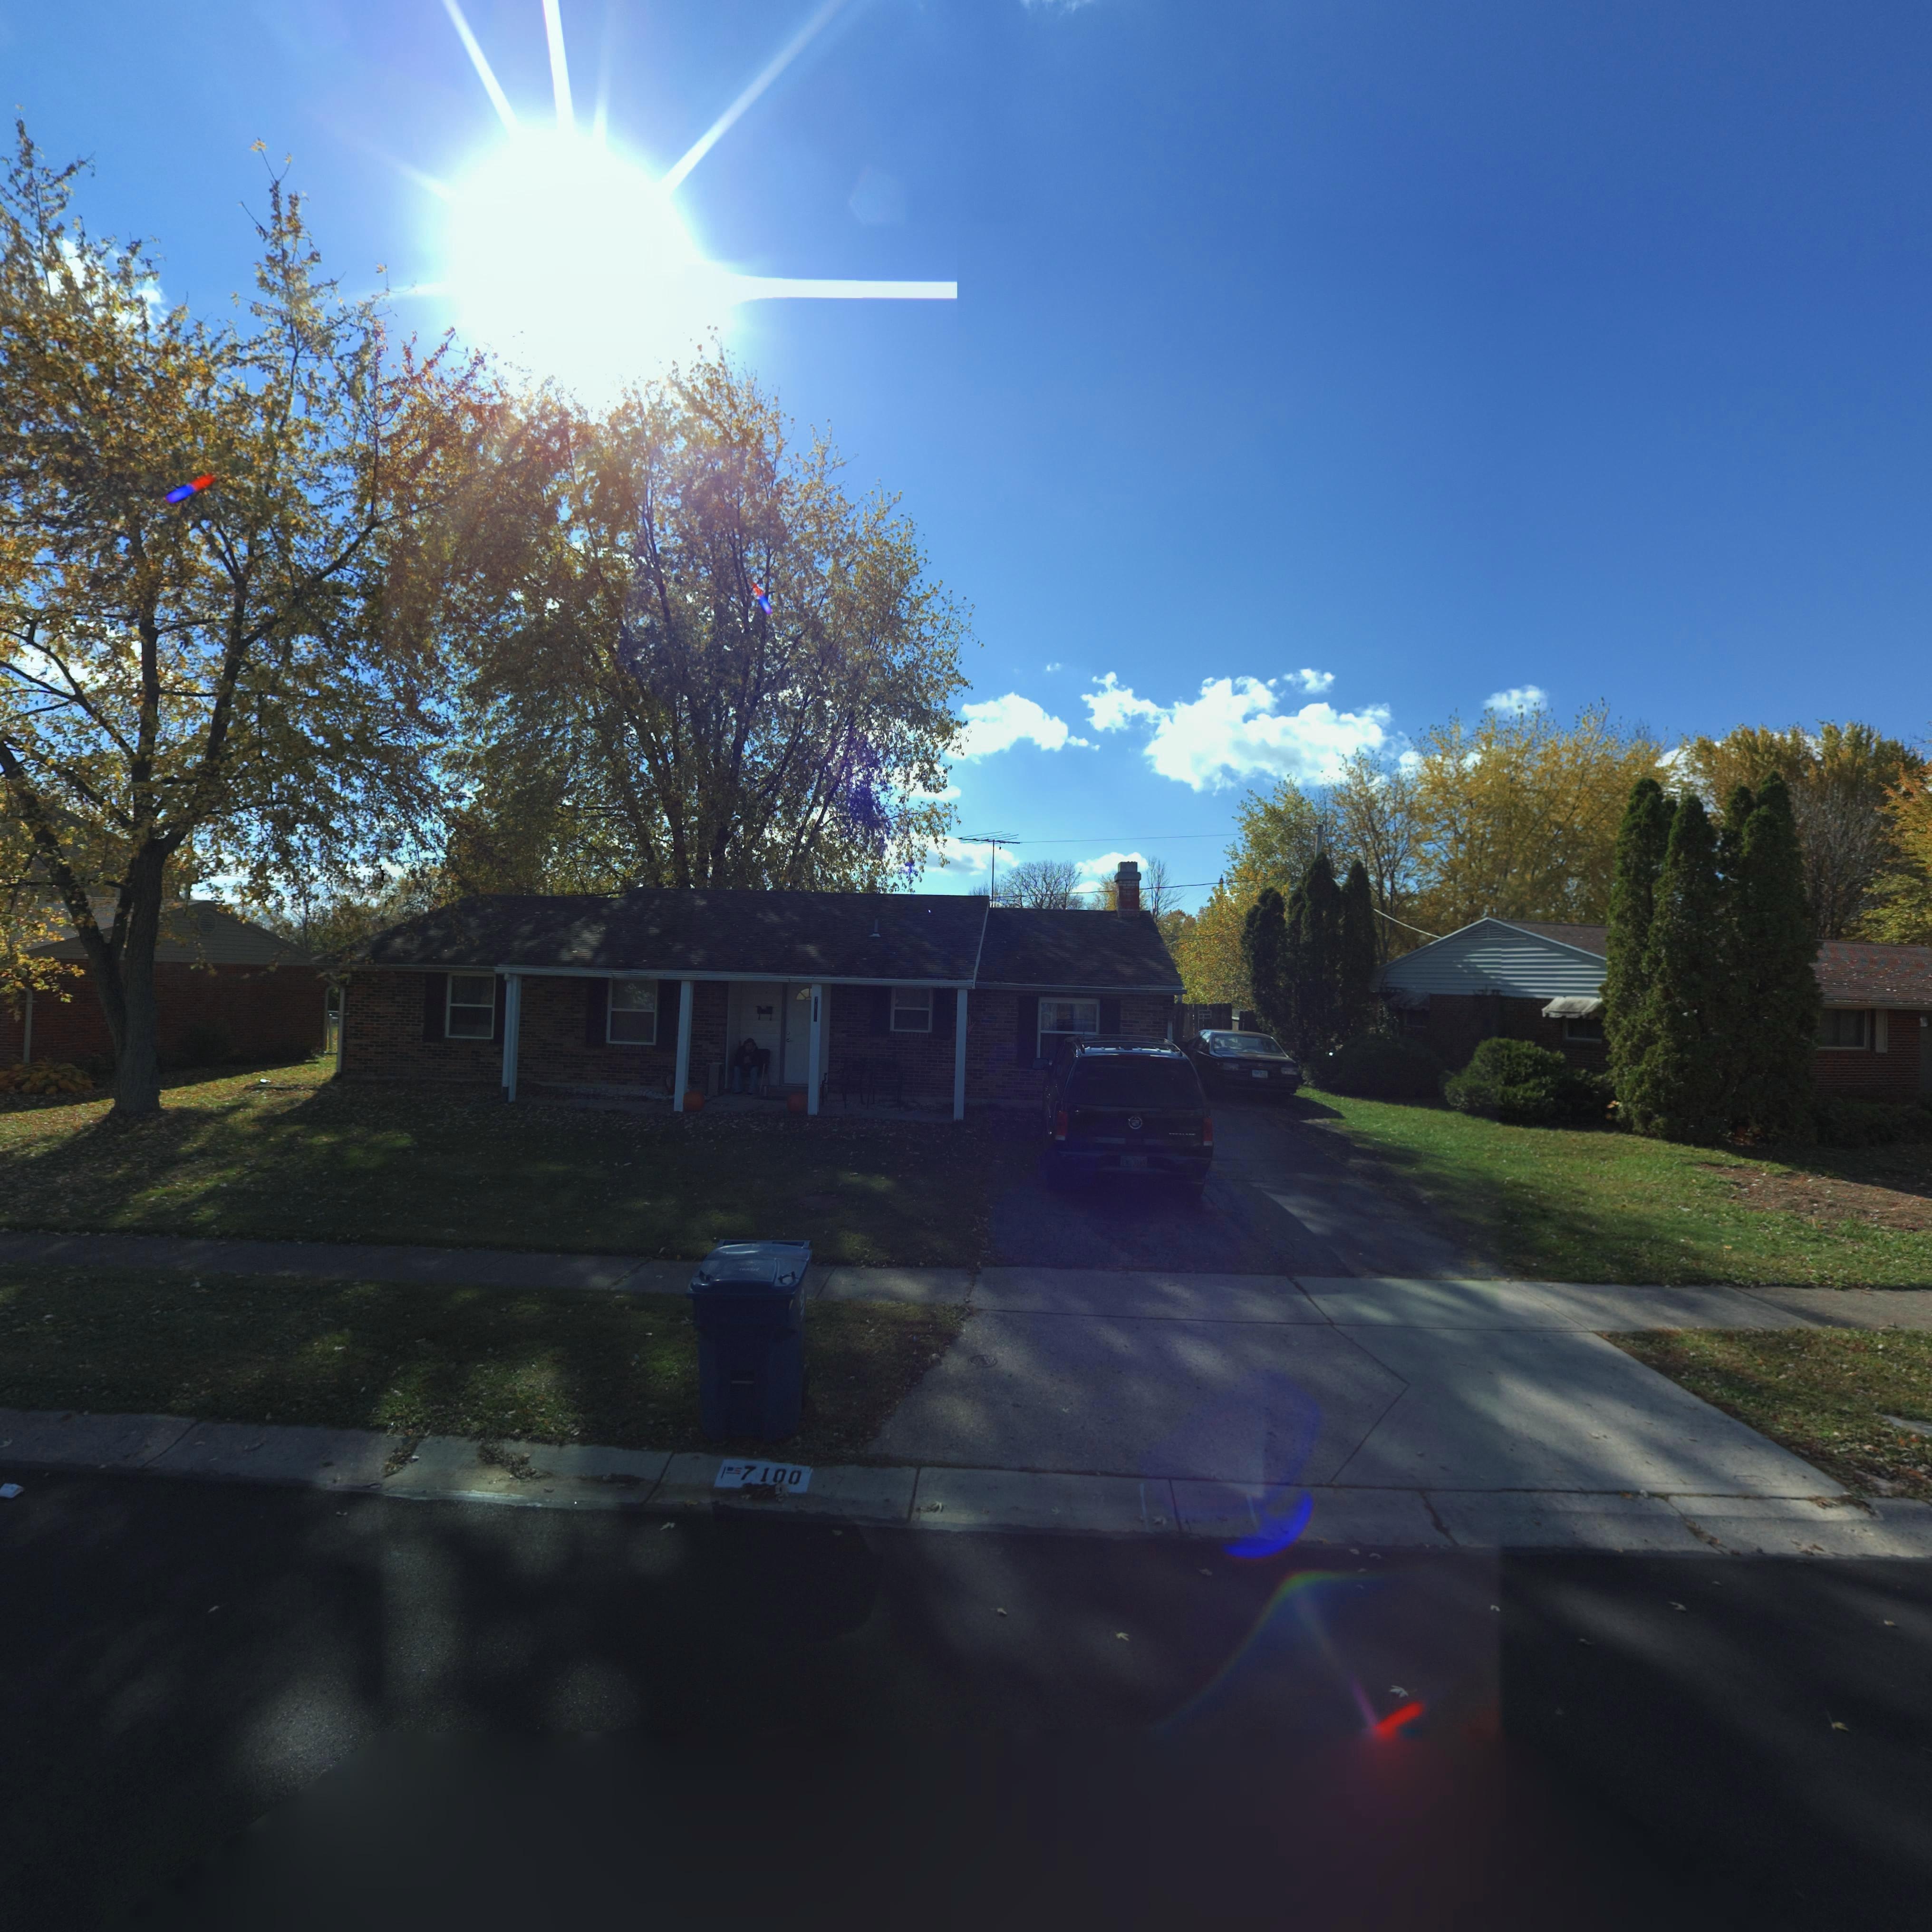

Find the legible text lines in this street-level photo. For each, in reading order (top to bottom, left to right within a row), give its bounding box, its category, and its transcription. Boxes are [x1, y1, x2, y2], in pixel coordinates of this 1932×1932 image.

[814, 996, 819, 1011] StreetNumber: 71
[738, 1464, 803, 1488] StreetNumber: 7100